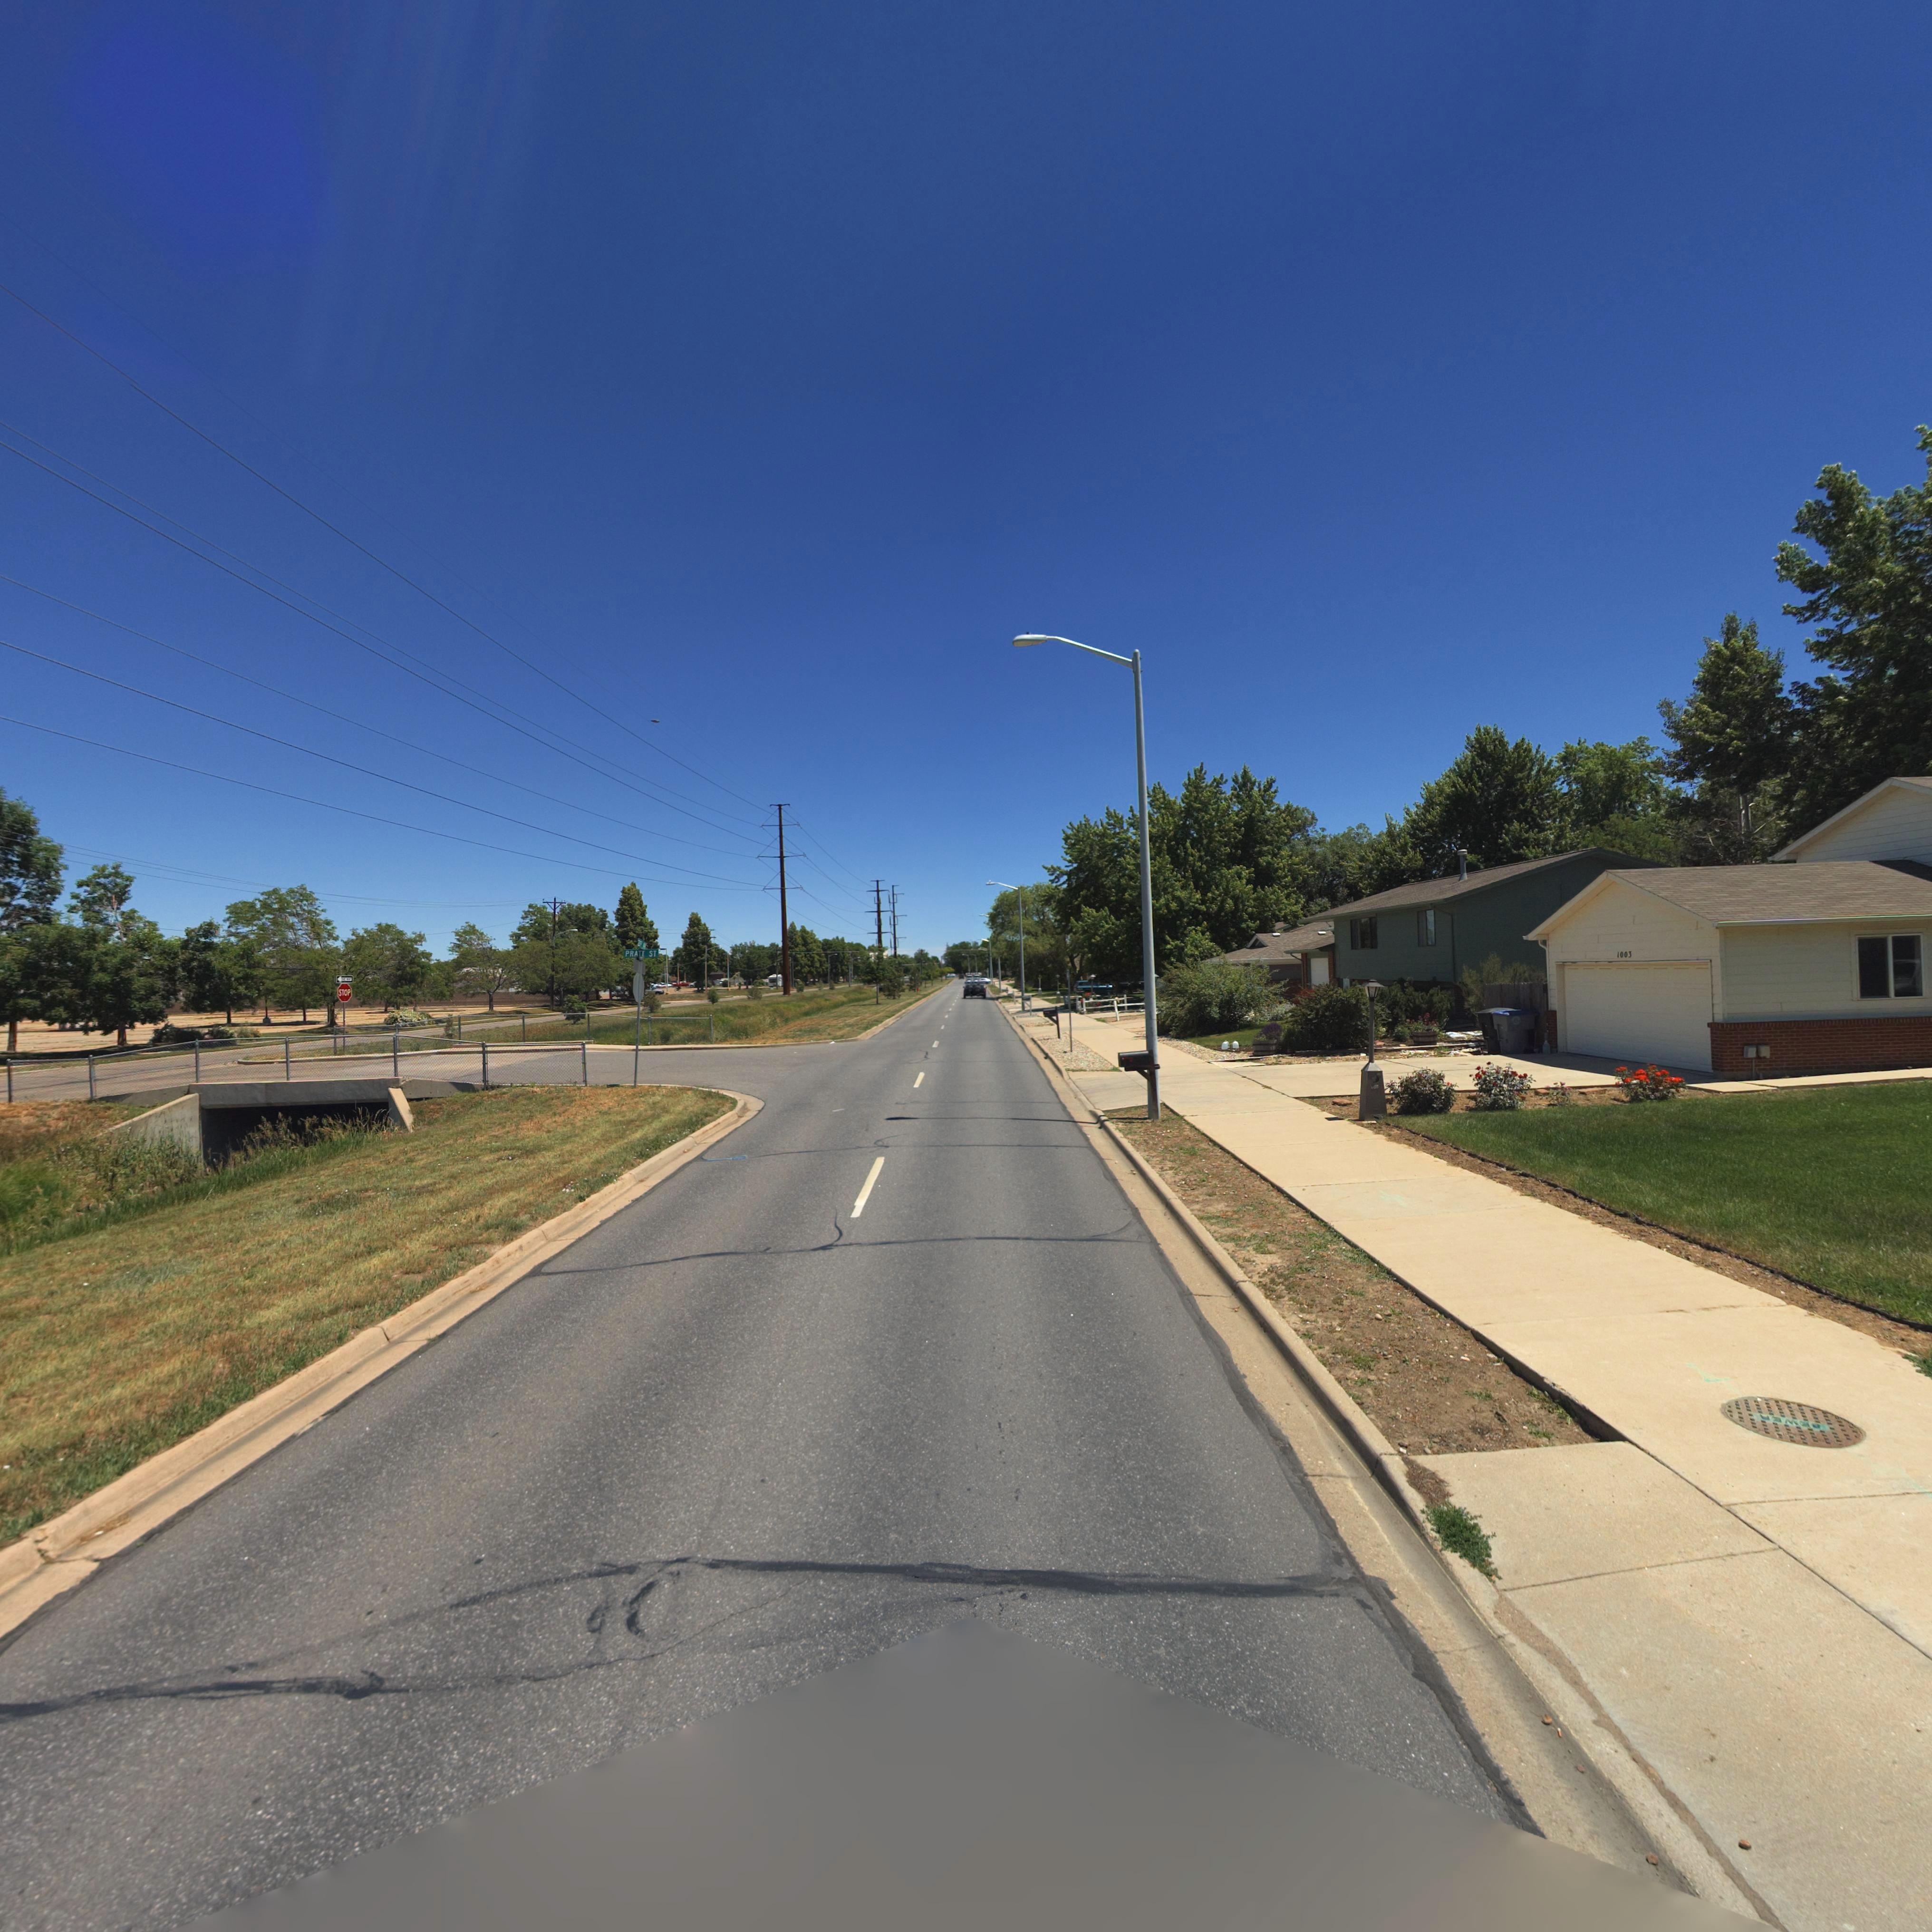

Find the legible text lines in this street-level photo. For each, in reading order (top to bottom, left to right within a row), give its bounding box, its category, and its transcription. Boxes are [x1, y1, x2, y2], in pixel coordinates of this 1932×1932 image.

[625, 949, 657, 957] StreetName: PRATT ST
[1617, 950, 1632, 958] StreetNumber: 1003